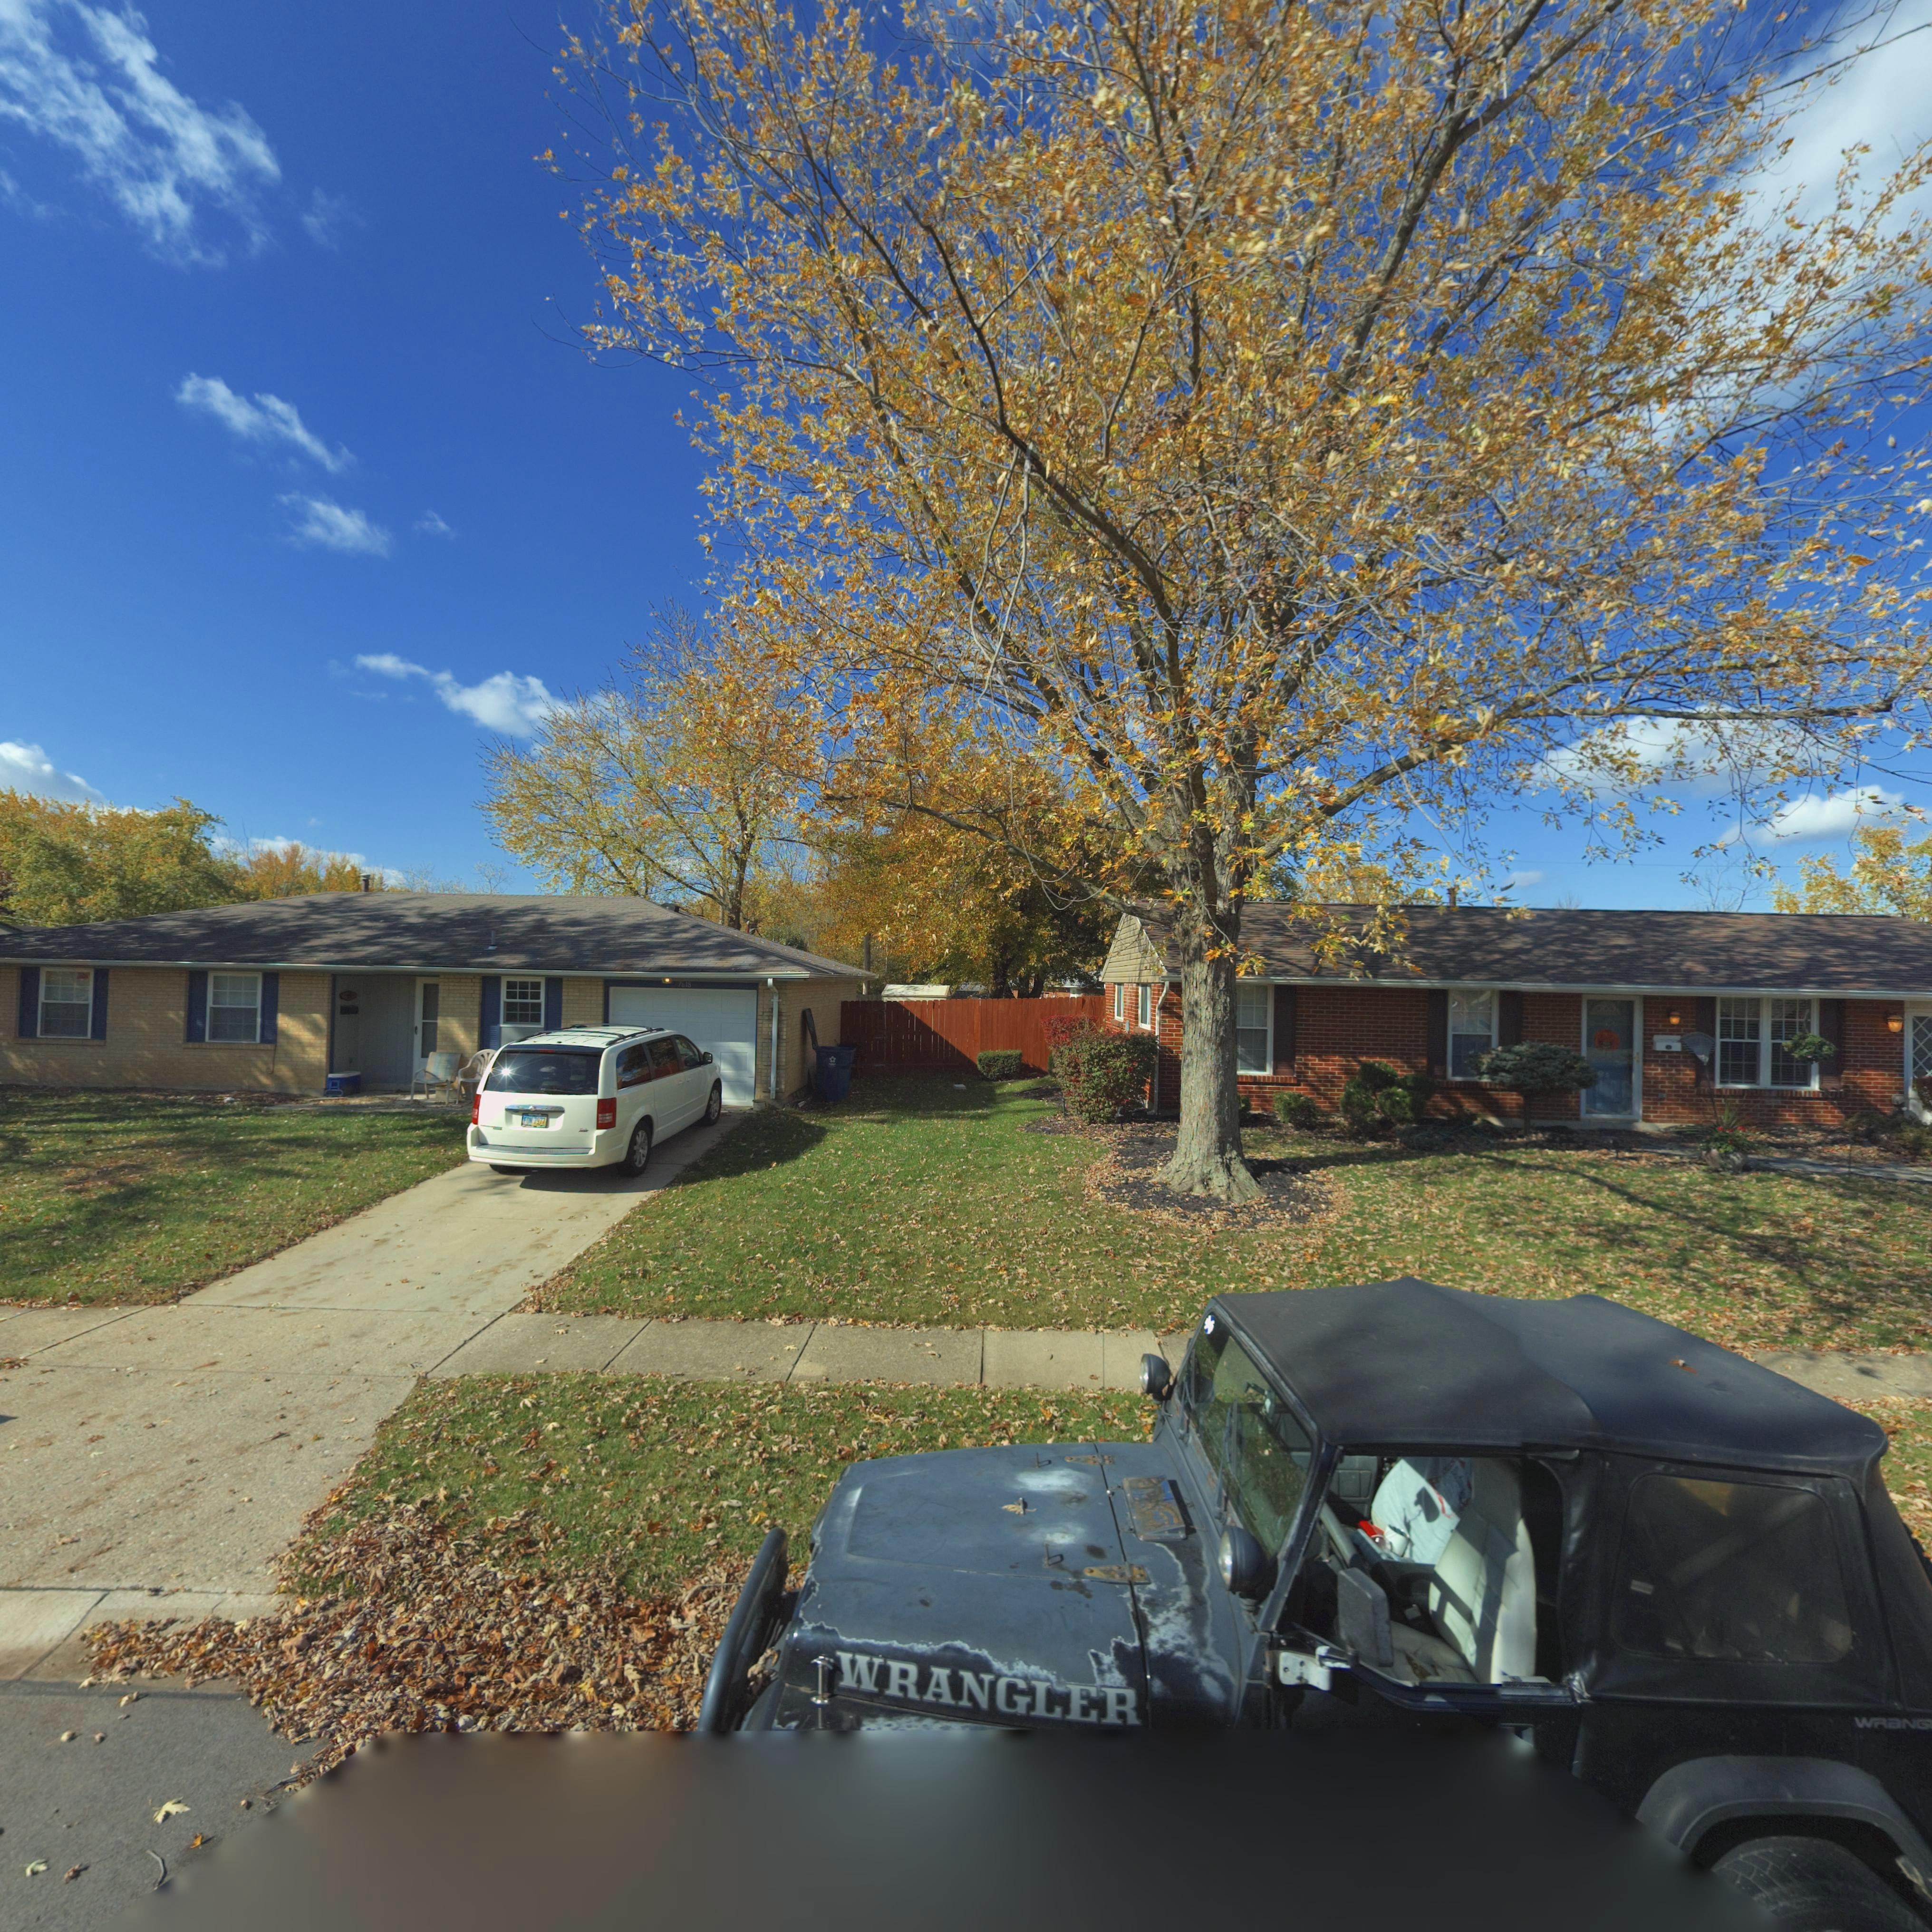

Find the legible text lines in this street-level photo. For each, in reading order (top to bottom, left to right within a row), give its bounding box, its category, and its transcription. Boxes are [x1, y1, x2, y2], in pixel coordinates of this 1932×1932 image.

[676, 980, 693, 989] StreetNumber: *618